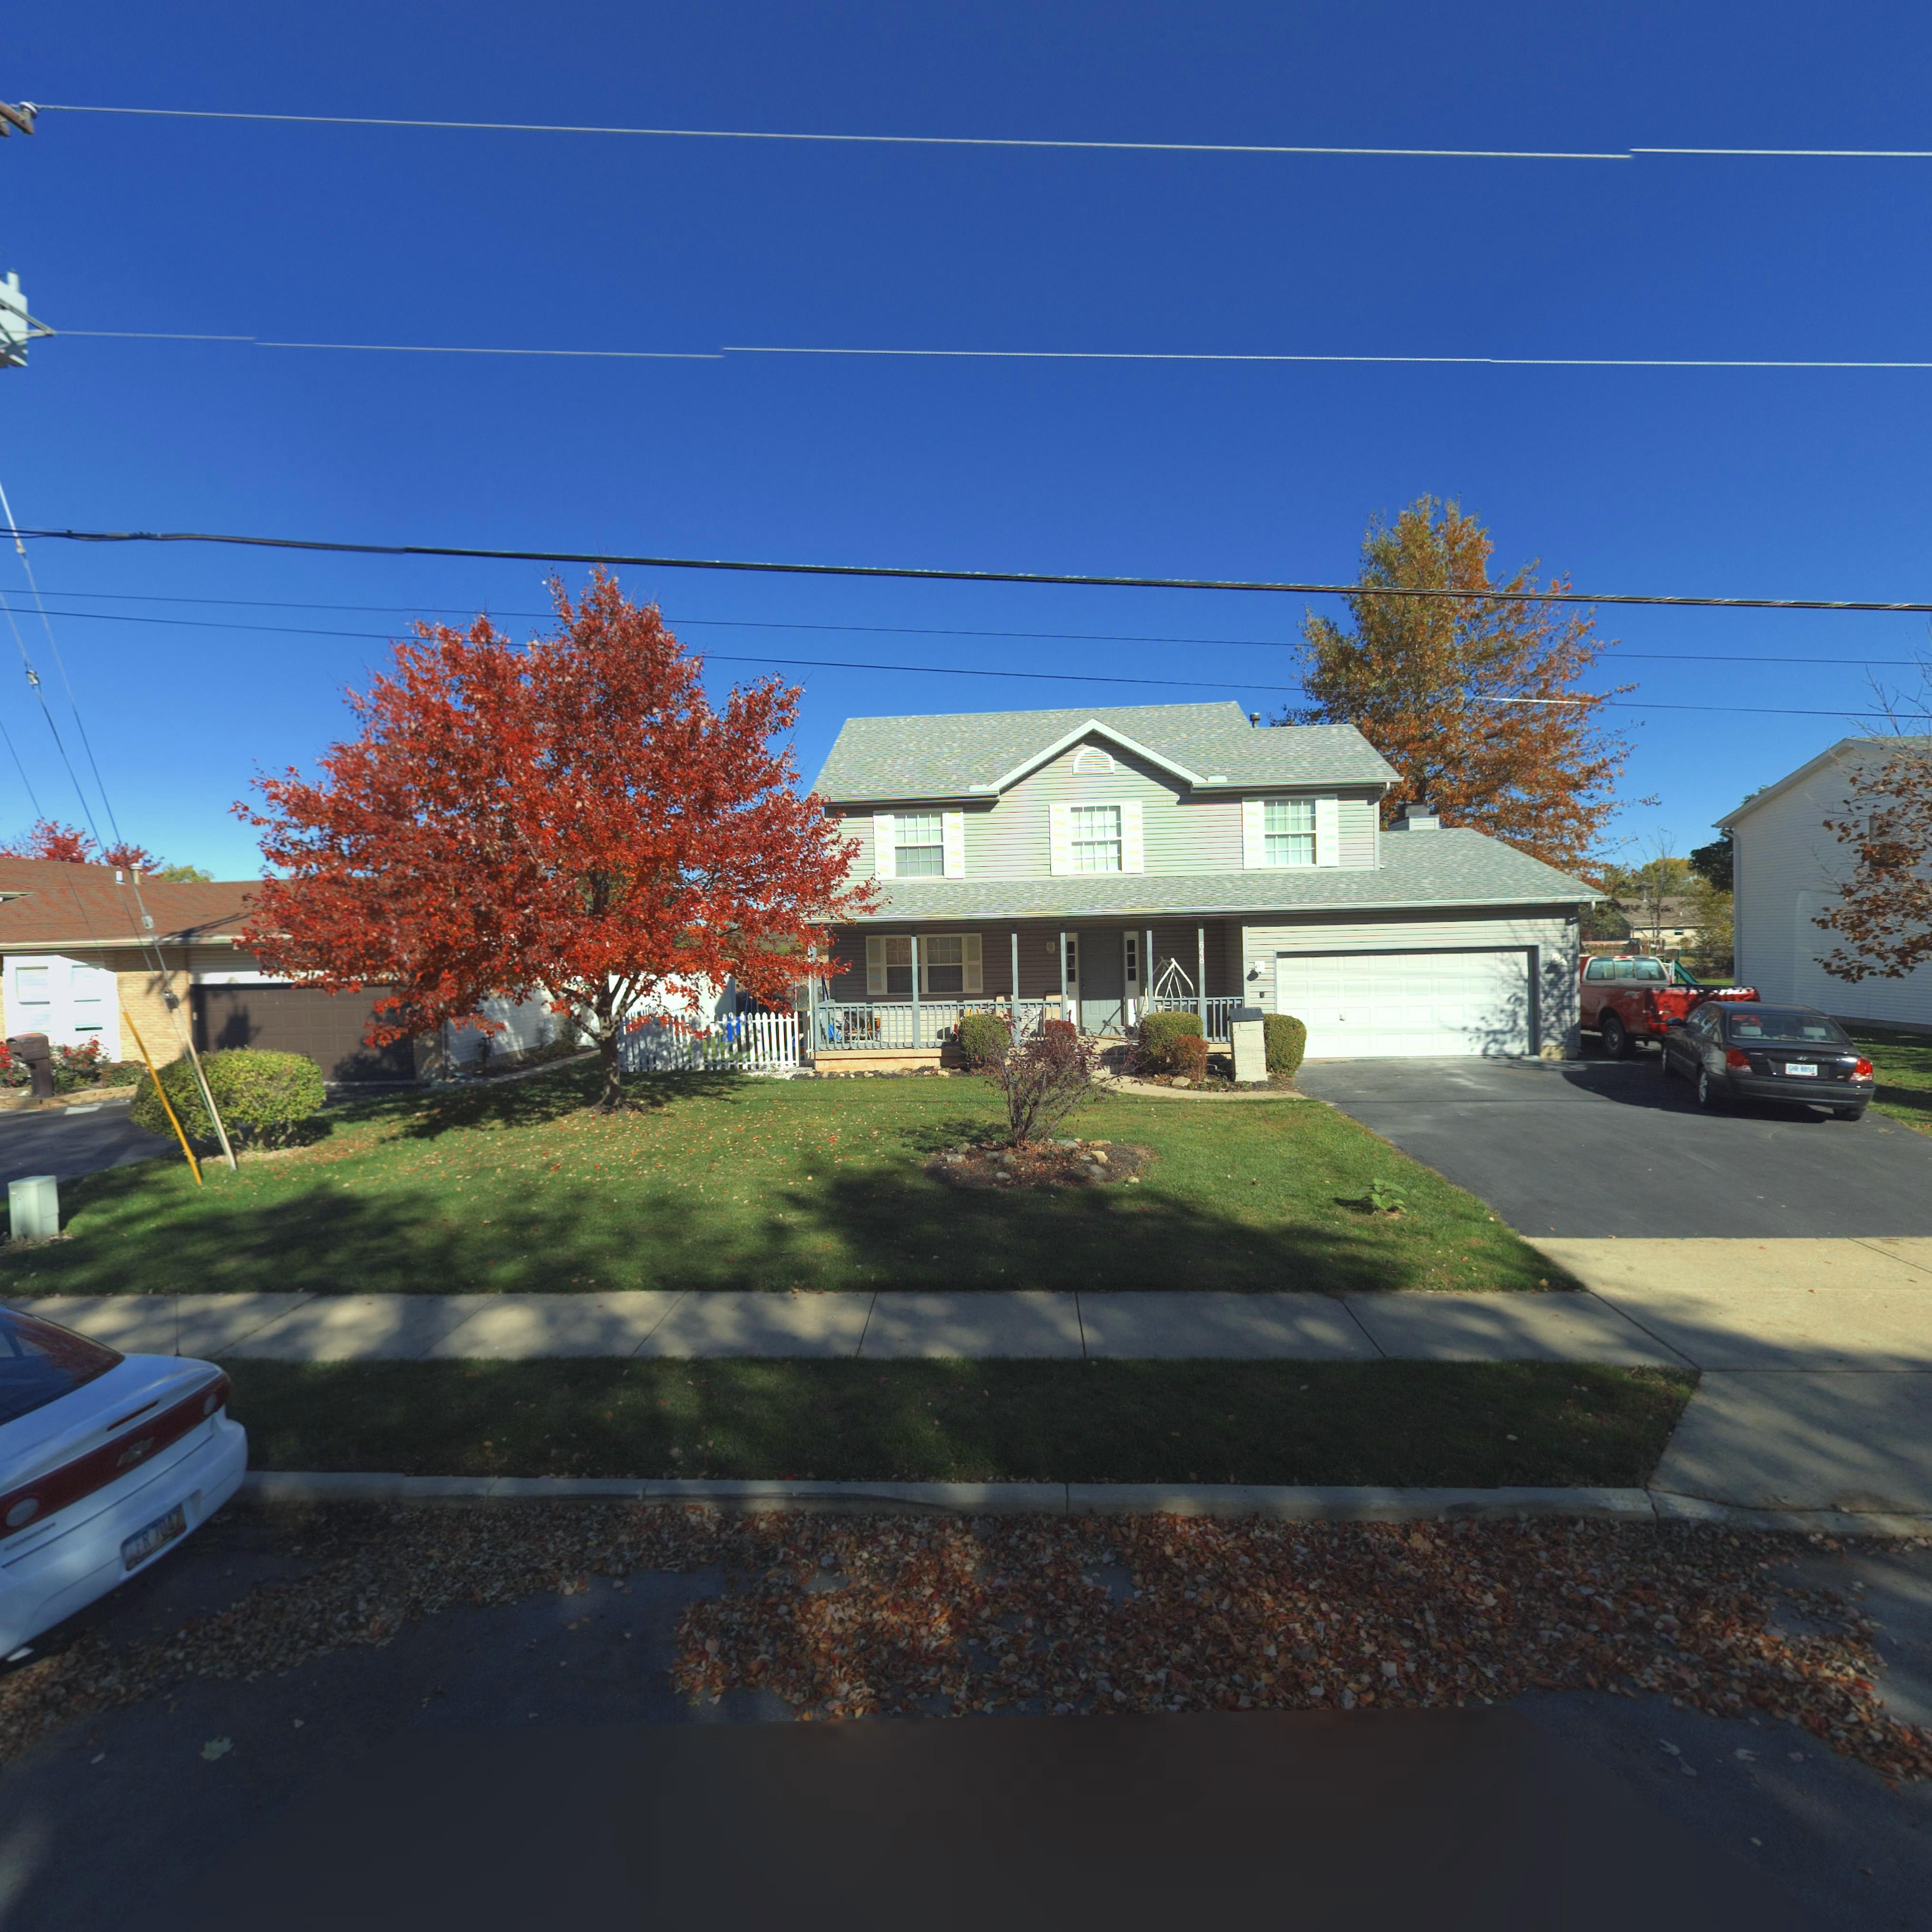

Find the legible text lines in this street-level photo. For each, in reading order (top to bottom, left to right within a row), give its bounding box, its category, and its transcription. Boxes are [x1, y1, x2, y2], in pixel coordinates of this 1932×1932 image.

[1198, 941, 1204, 964] StreetNumber: 648
[130, 1504, 183, 1556] None: FR 7047